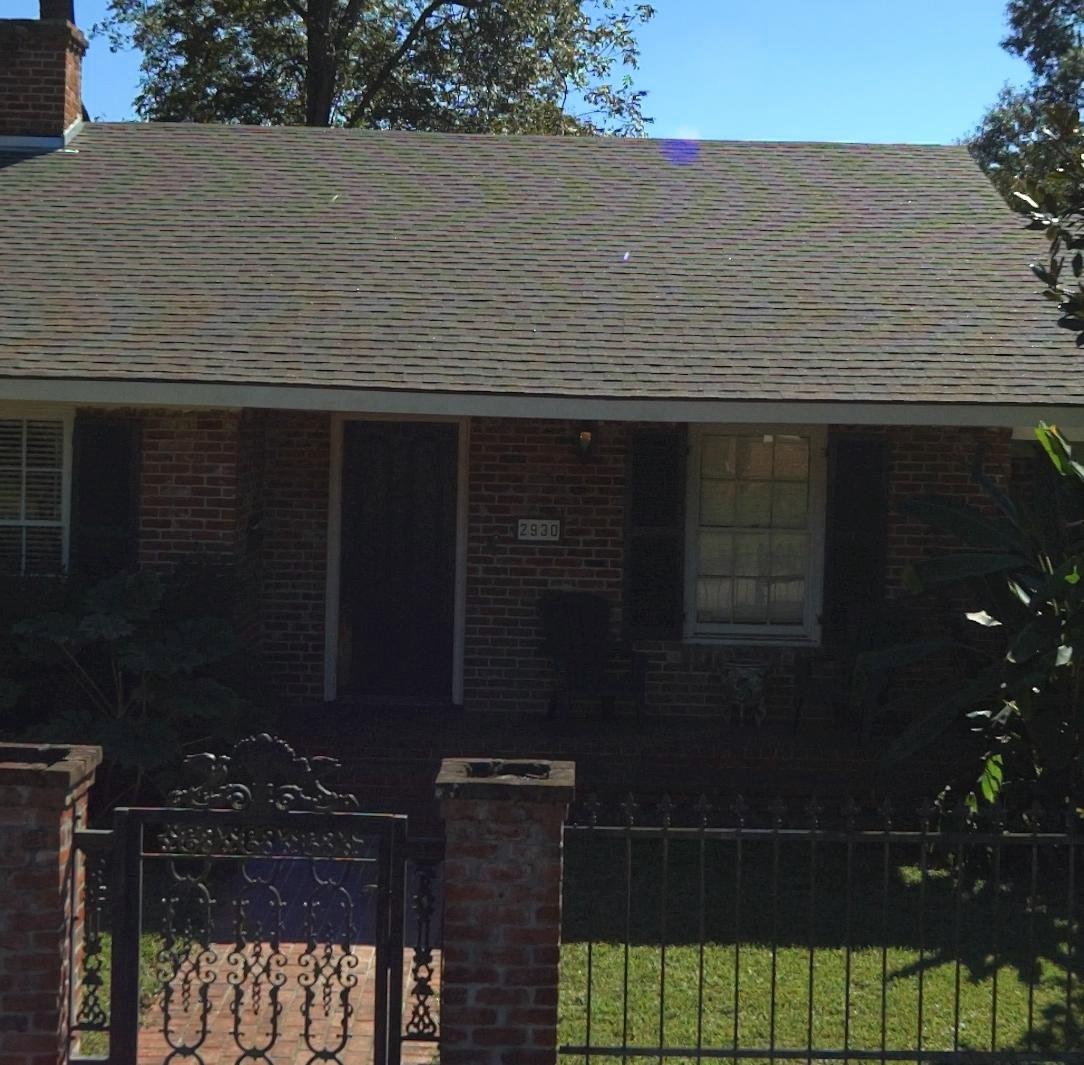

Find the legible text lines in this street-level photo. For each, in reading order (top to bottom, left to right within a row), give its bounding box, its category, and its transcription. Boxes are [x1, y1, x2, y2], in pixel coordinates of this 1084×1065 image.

[518, 521, 560, 538] StreetNumber: 2930